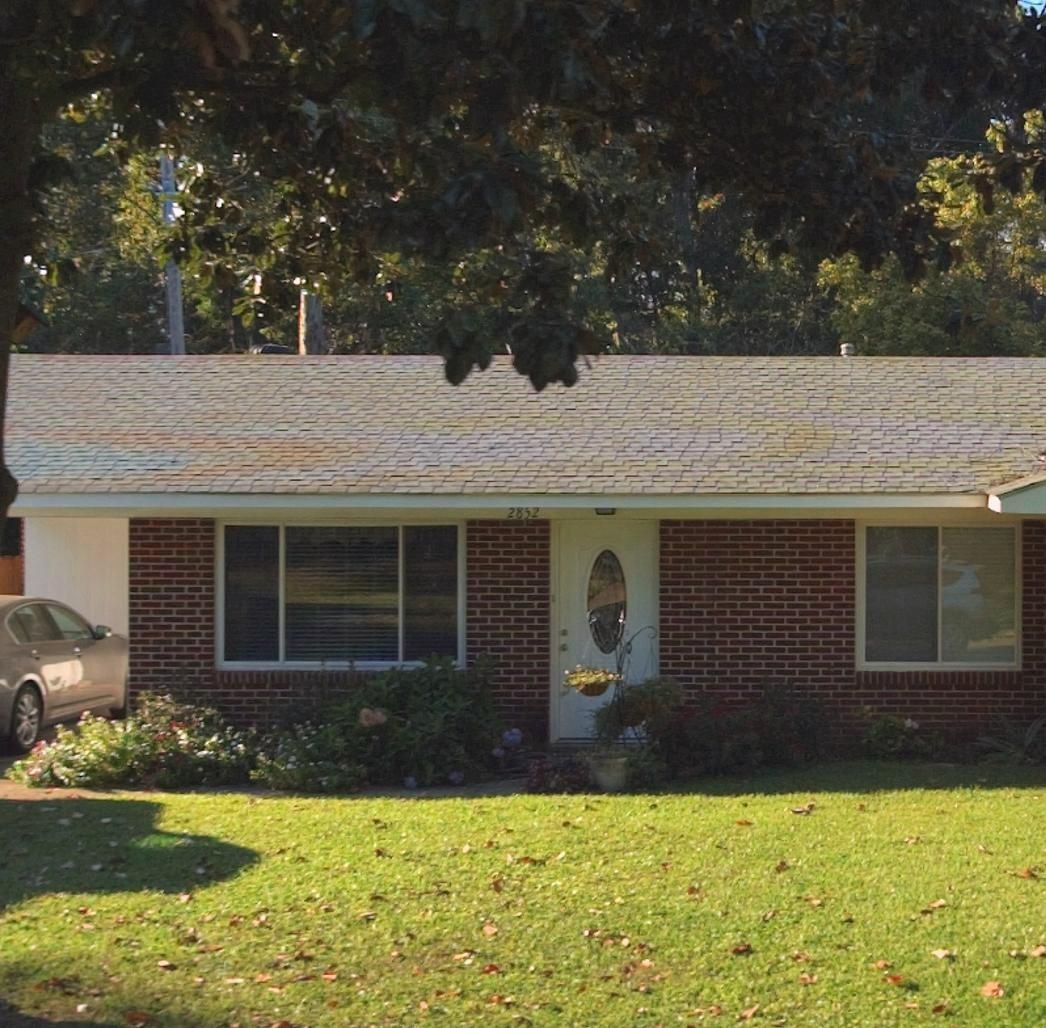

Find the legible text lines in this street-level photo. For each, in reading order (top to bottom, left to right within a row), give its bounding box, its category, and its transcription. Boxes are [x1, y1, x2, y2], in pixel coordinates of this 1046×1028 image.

[507, 506, 541, 520] StreetNumber: 28*2